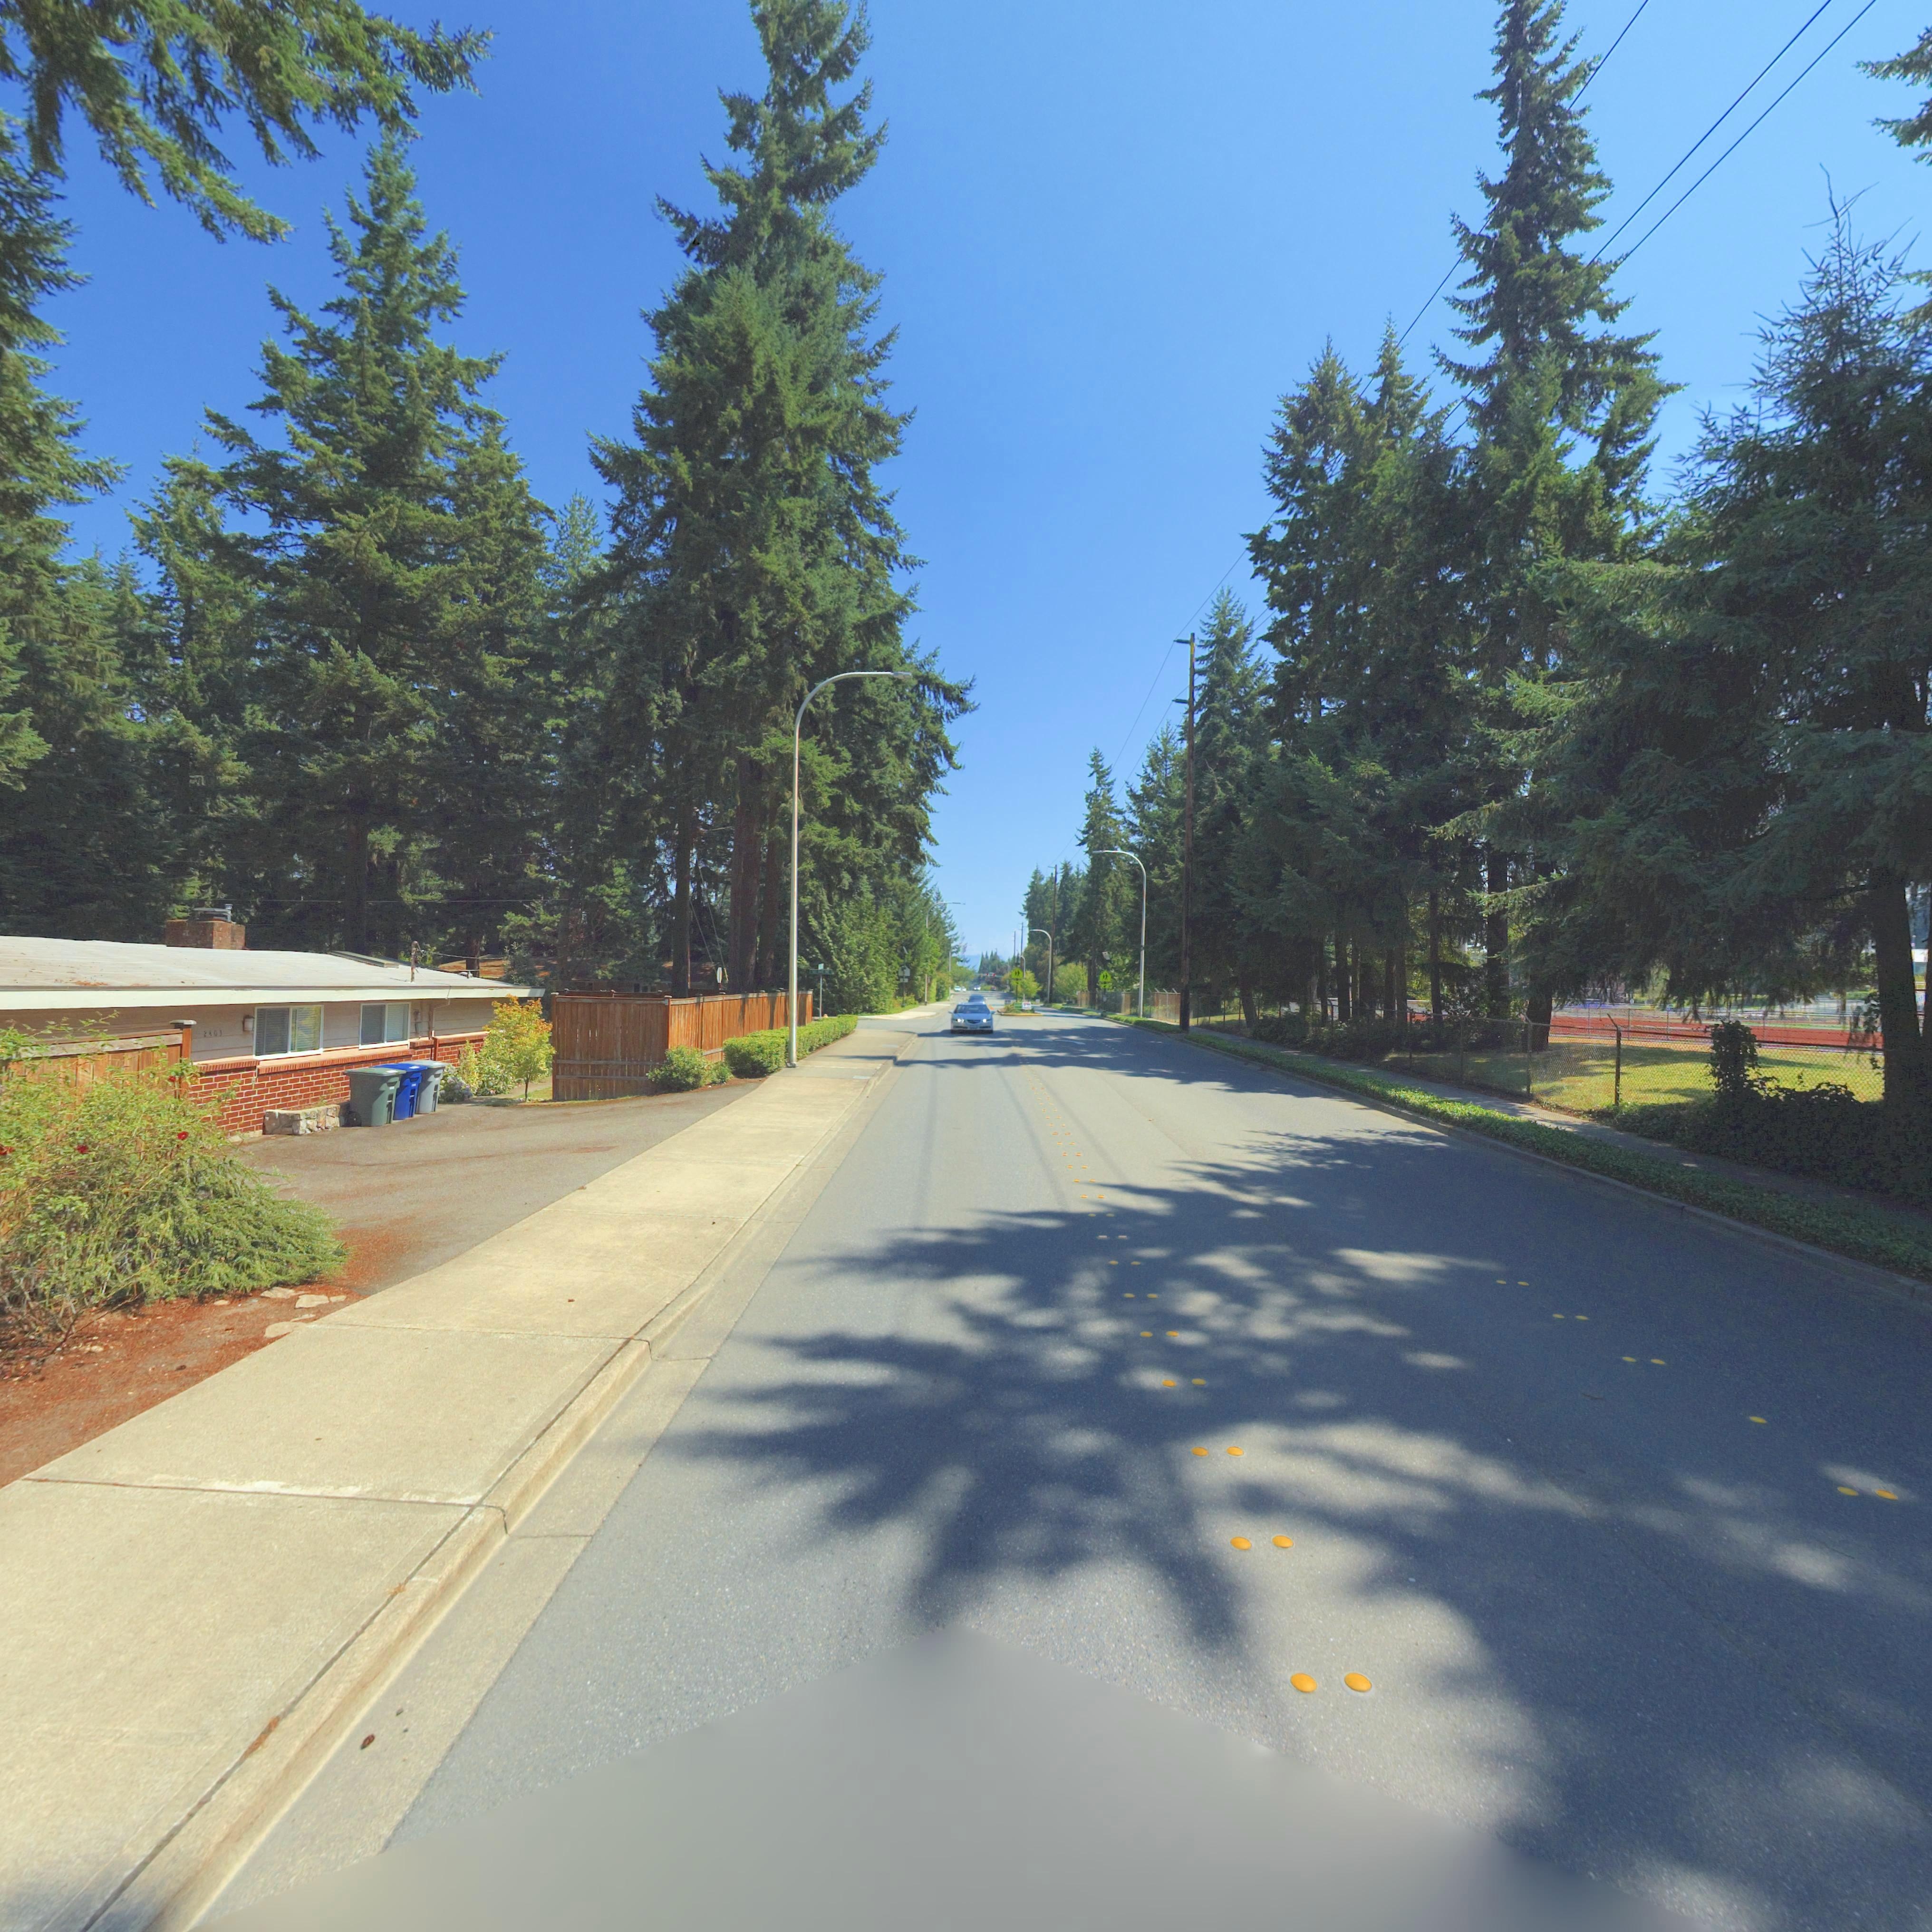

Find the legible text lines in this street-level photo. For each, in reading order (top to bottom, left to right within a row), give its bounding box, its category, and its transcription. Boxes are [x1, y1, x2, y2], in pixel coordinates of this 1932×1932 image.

[203, 1028, 222, 1037] StreetNumber: 2403